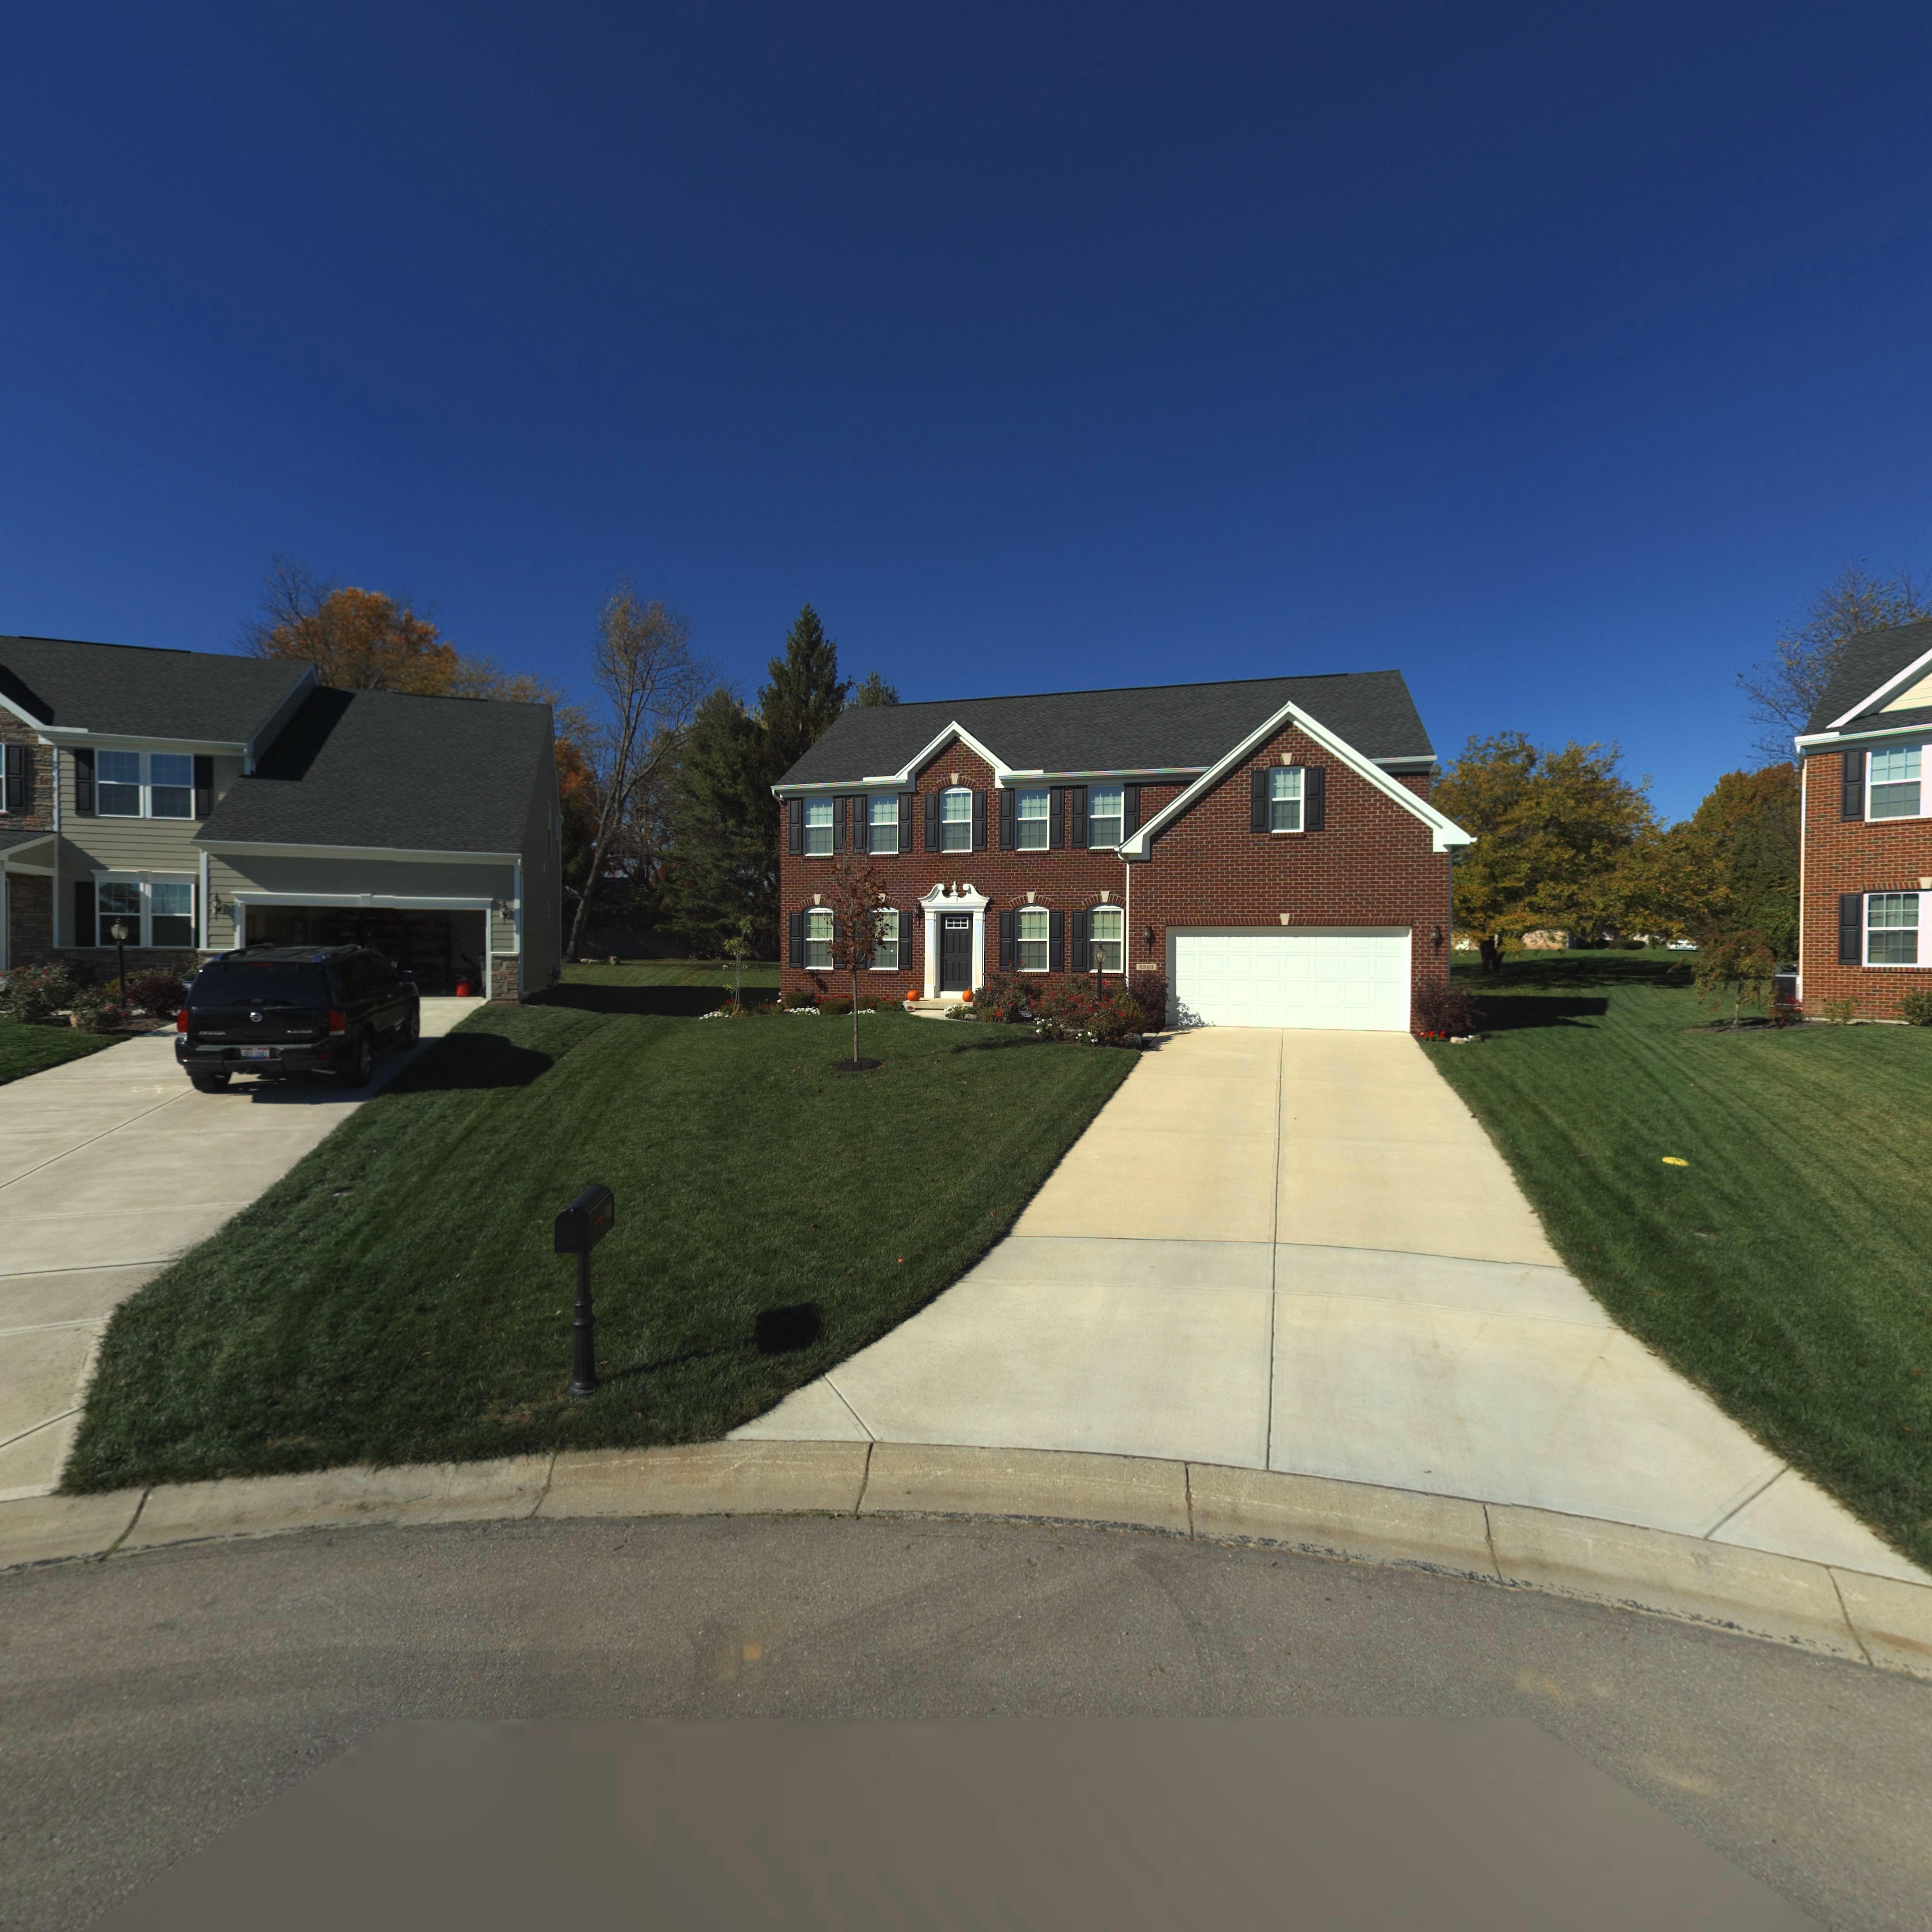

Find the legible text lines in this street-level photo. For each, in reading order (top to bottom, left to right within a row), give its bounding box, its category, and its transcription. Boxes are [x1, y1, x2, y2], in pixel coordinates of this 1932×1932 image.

[1139, 964, 1154, 970] StreetNumber: *863